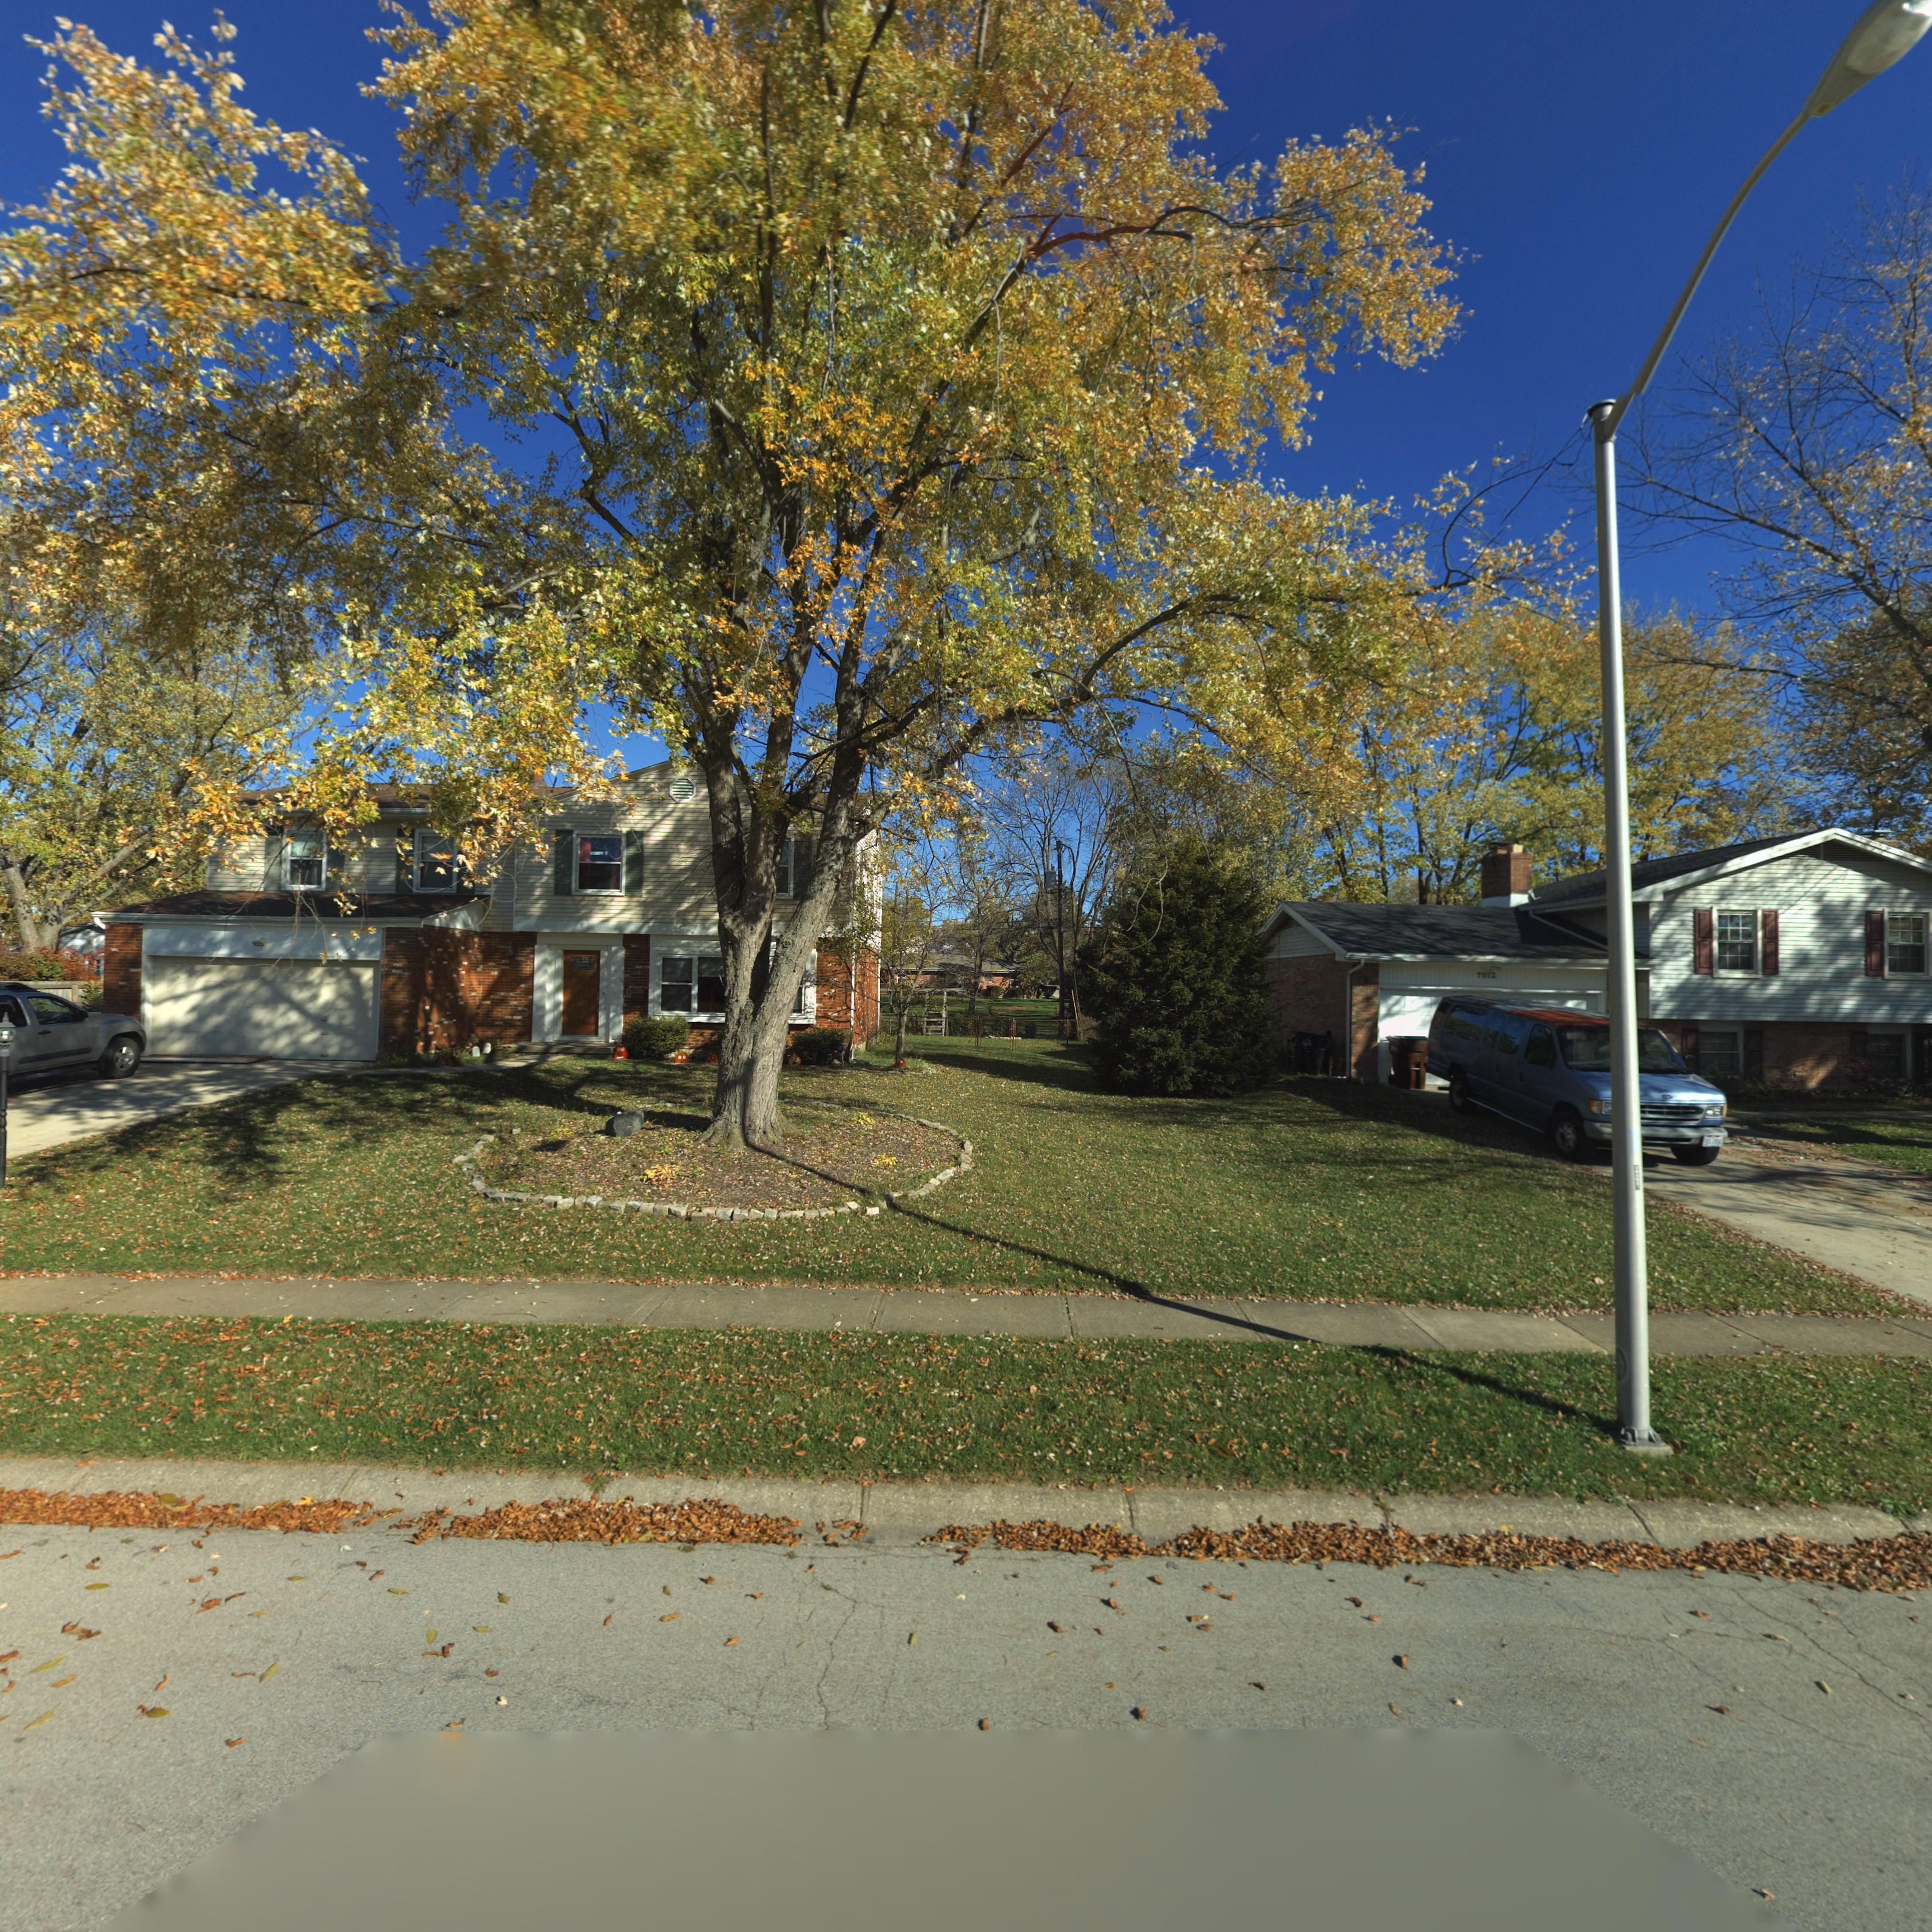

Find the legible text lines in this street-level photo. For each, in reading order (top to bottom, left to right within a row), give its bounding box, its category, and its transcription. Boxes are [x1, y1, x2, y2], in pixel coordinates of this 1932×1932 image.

[611, 962, 624, 984] StreetNumber: 701*
[1476, 971, 1497, 979] StreetNumber: 7012